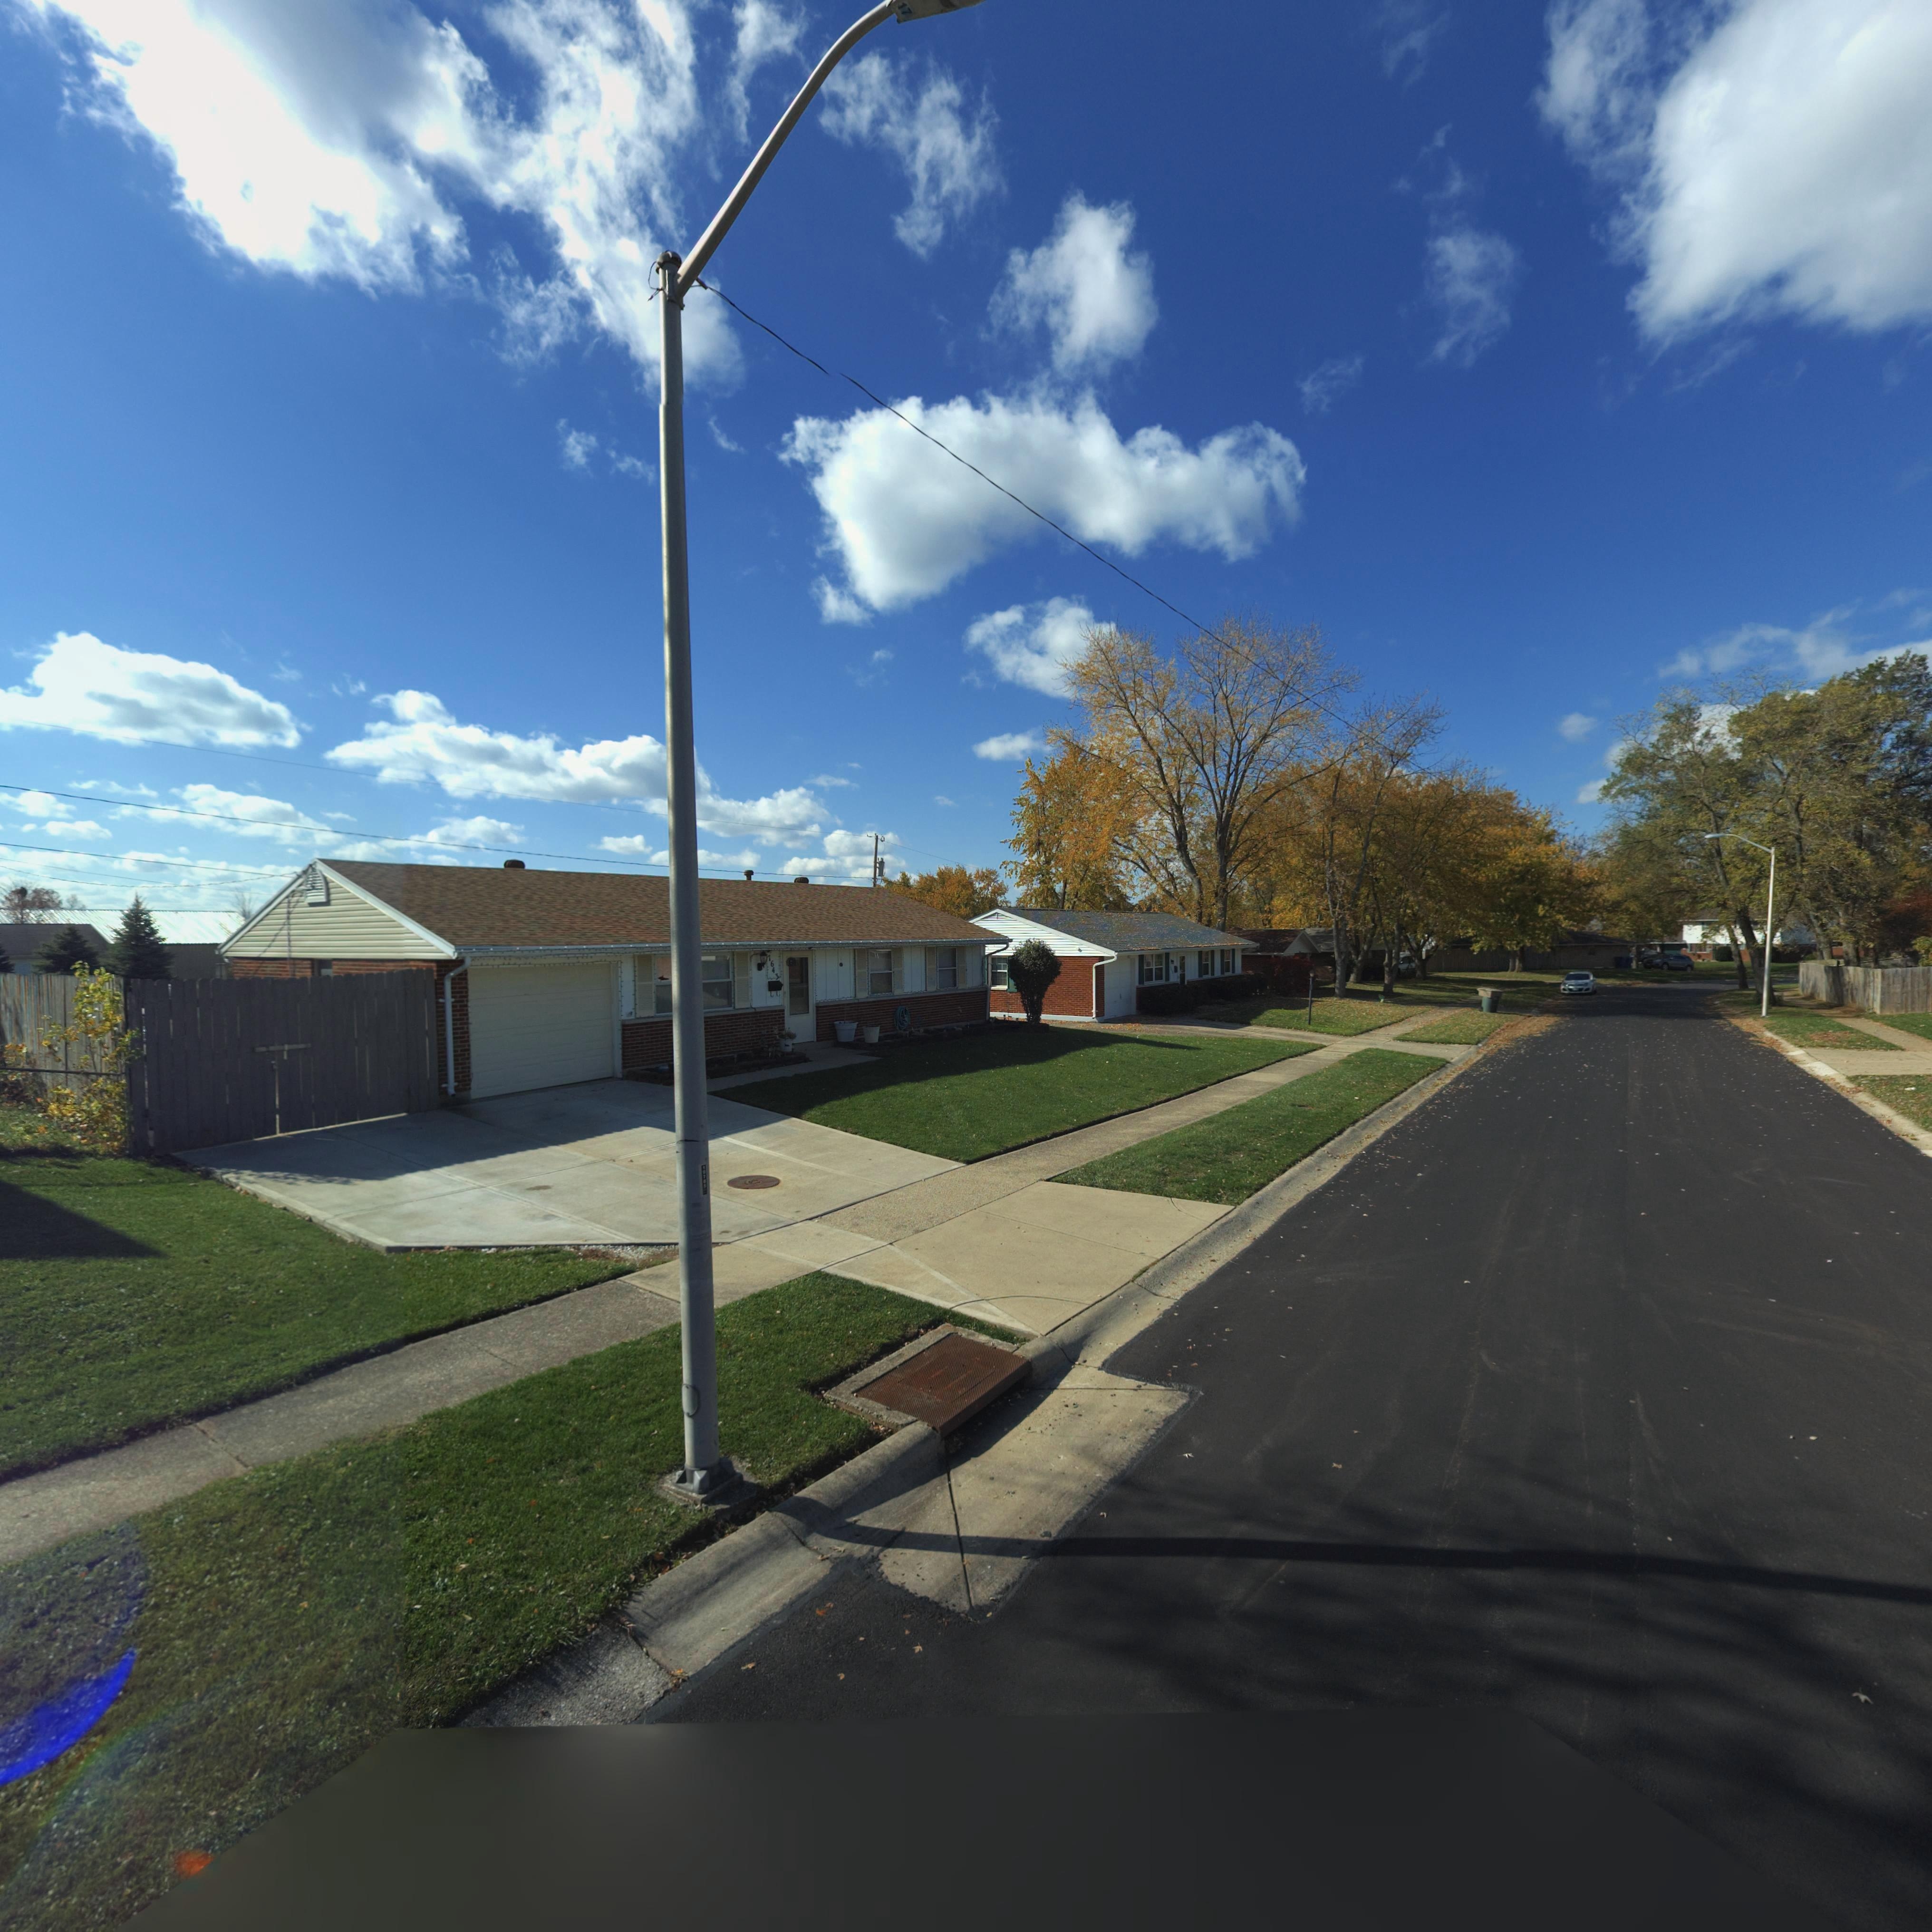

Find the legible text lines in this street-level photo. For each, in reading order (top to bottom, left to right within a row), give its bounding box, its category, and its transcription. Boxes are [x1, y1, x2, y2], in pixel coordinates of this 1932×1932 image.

[766, 954, 779, 980] StreetNumber: 7643